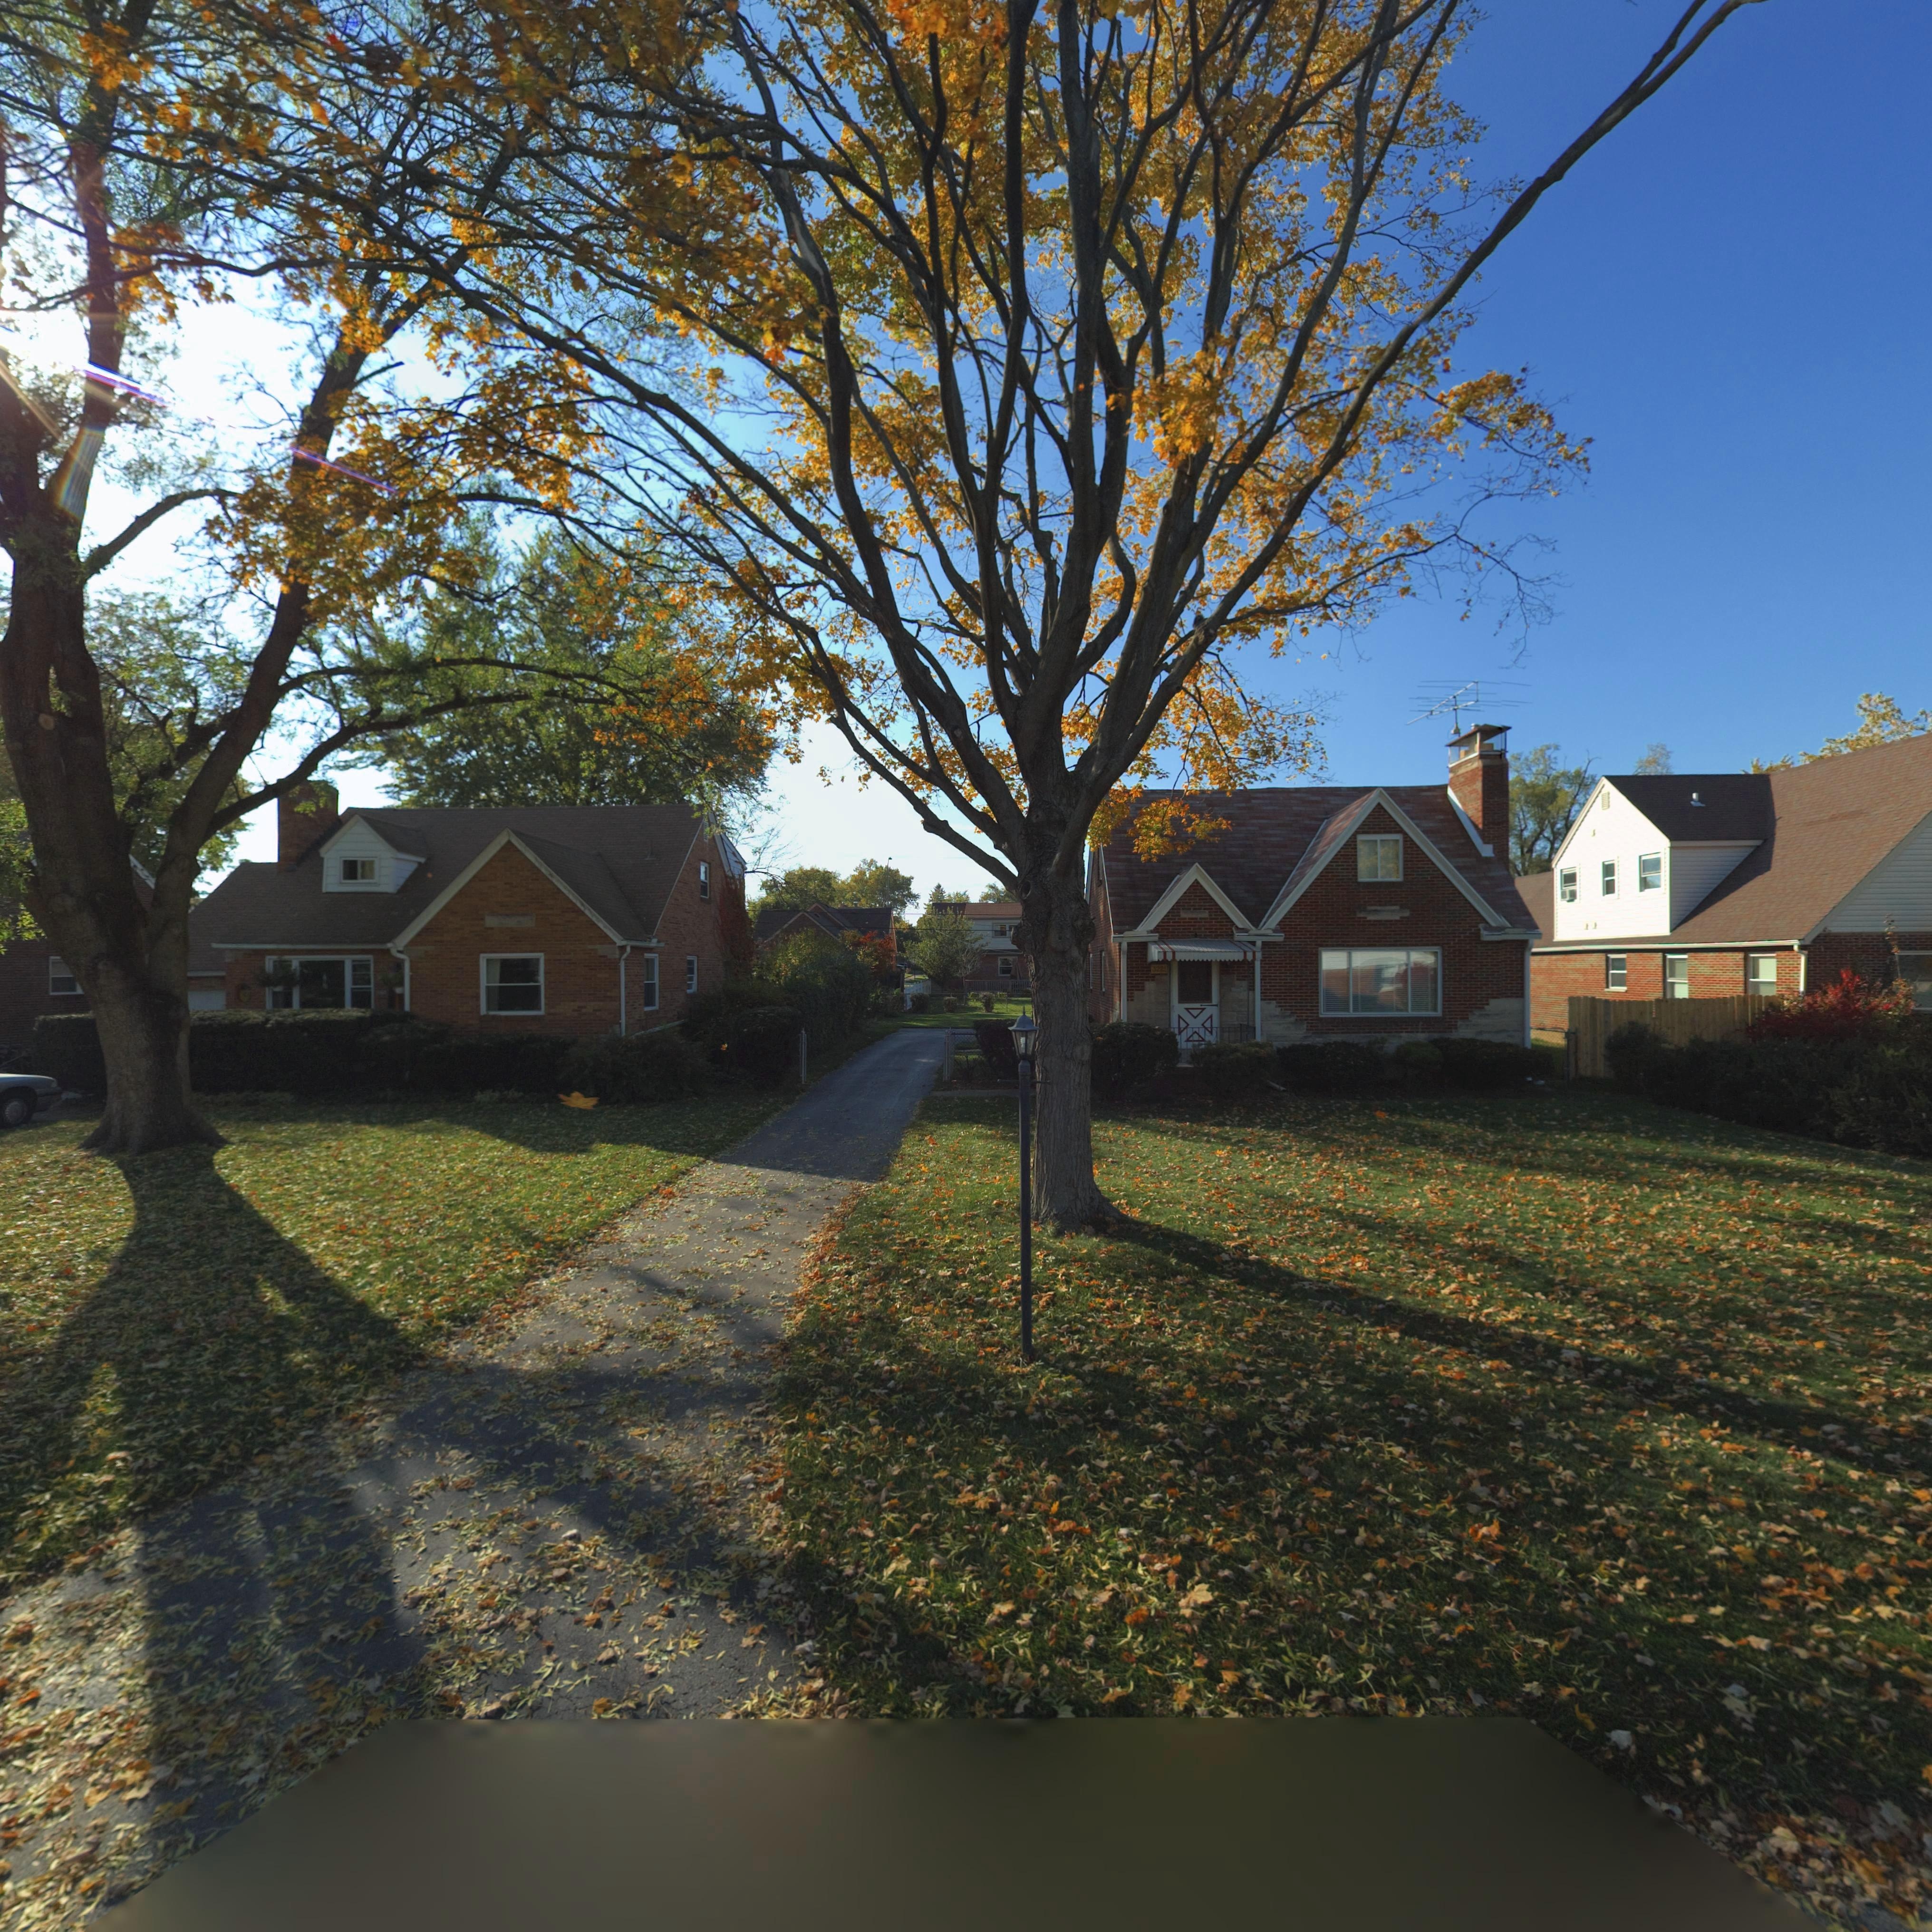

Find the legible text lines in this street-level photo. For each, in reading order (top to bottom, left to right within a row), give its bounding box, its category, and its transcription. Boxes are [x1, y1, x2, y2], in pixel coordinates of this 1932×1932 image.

[1151, 966, 1167, 972] StreetNumber: 3221